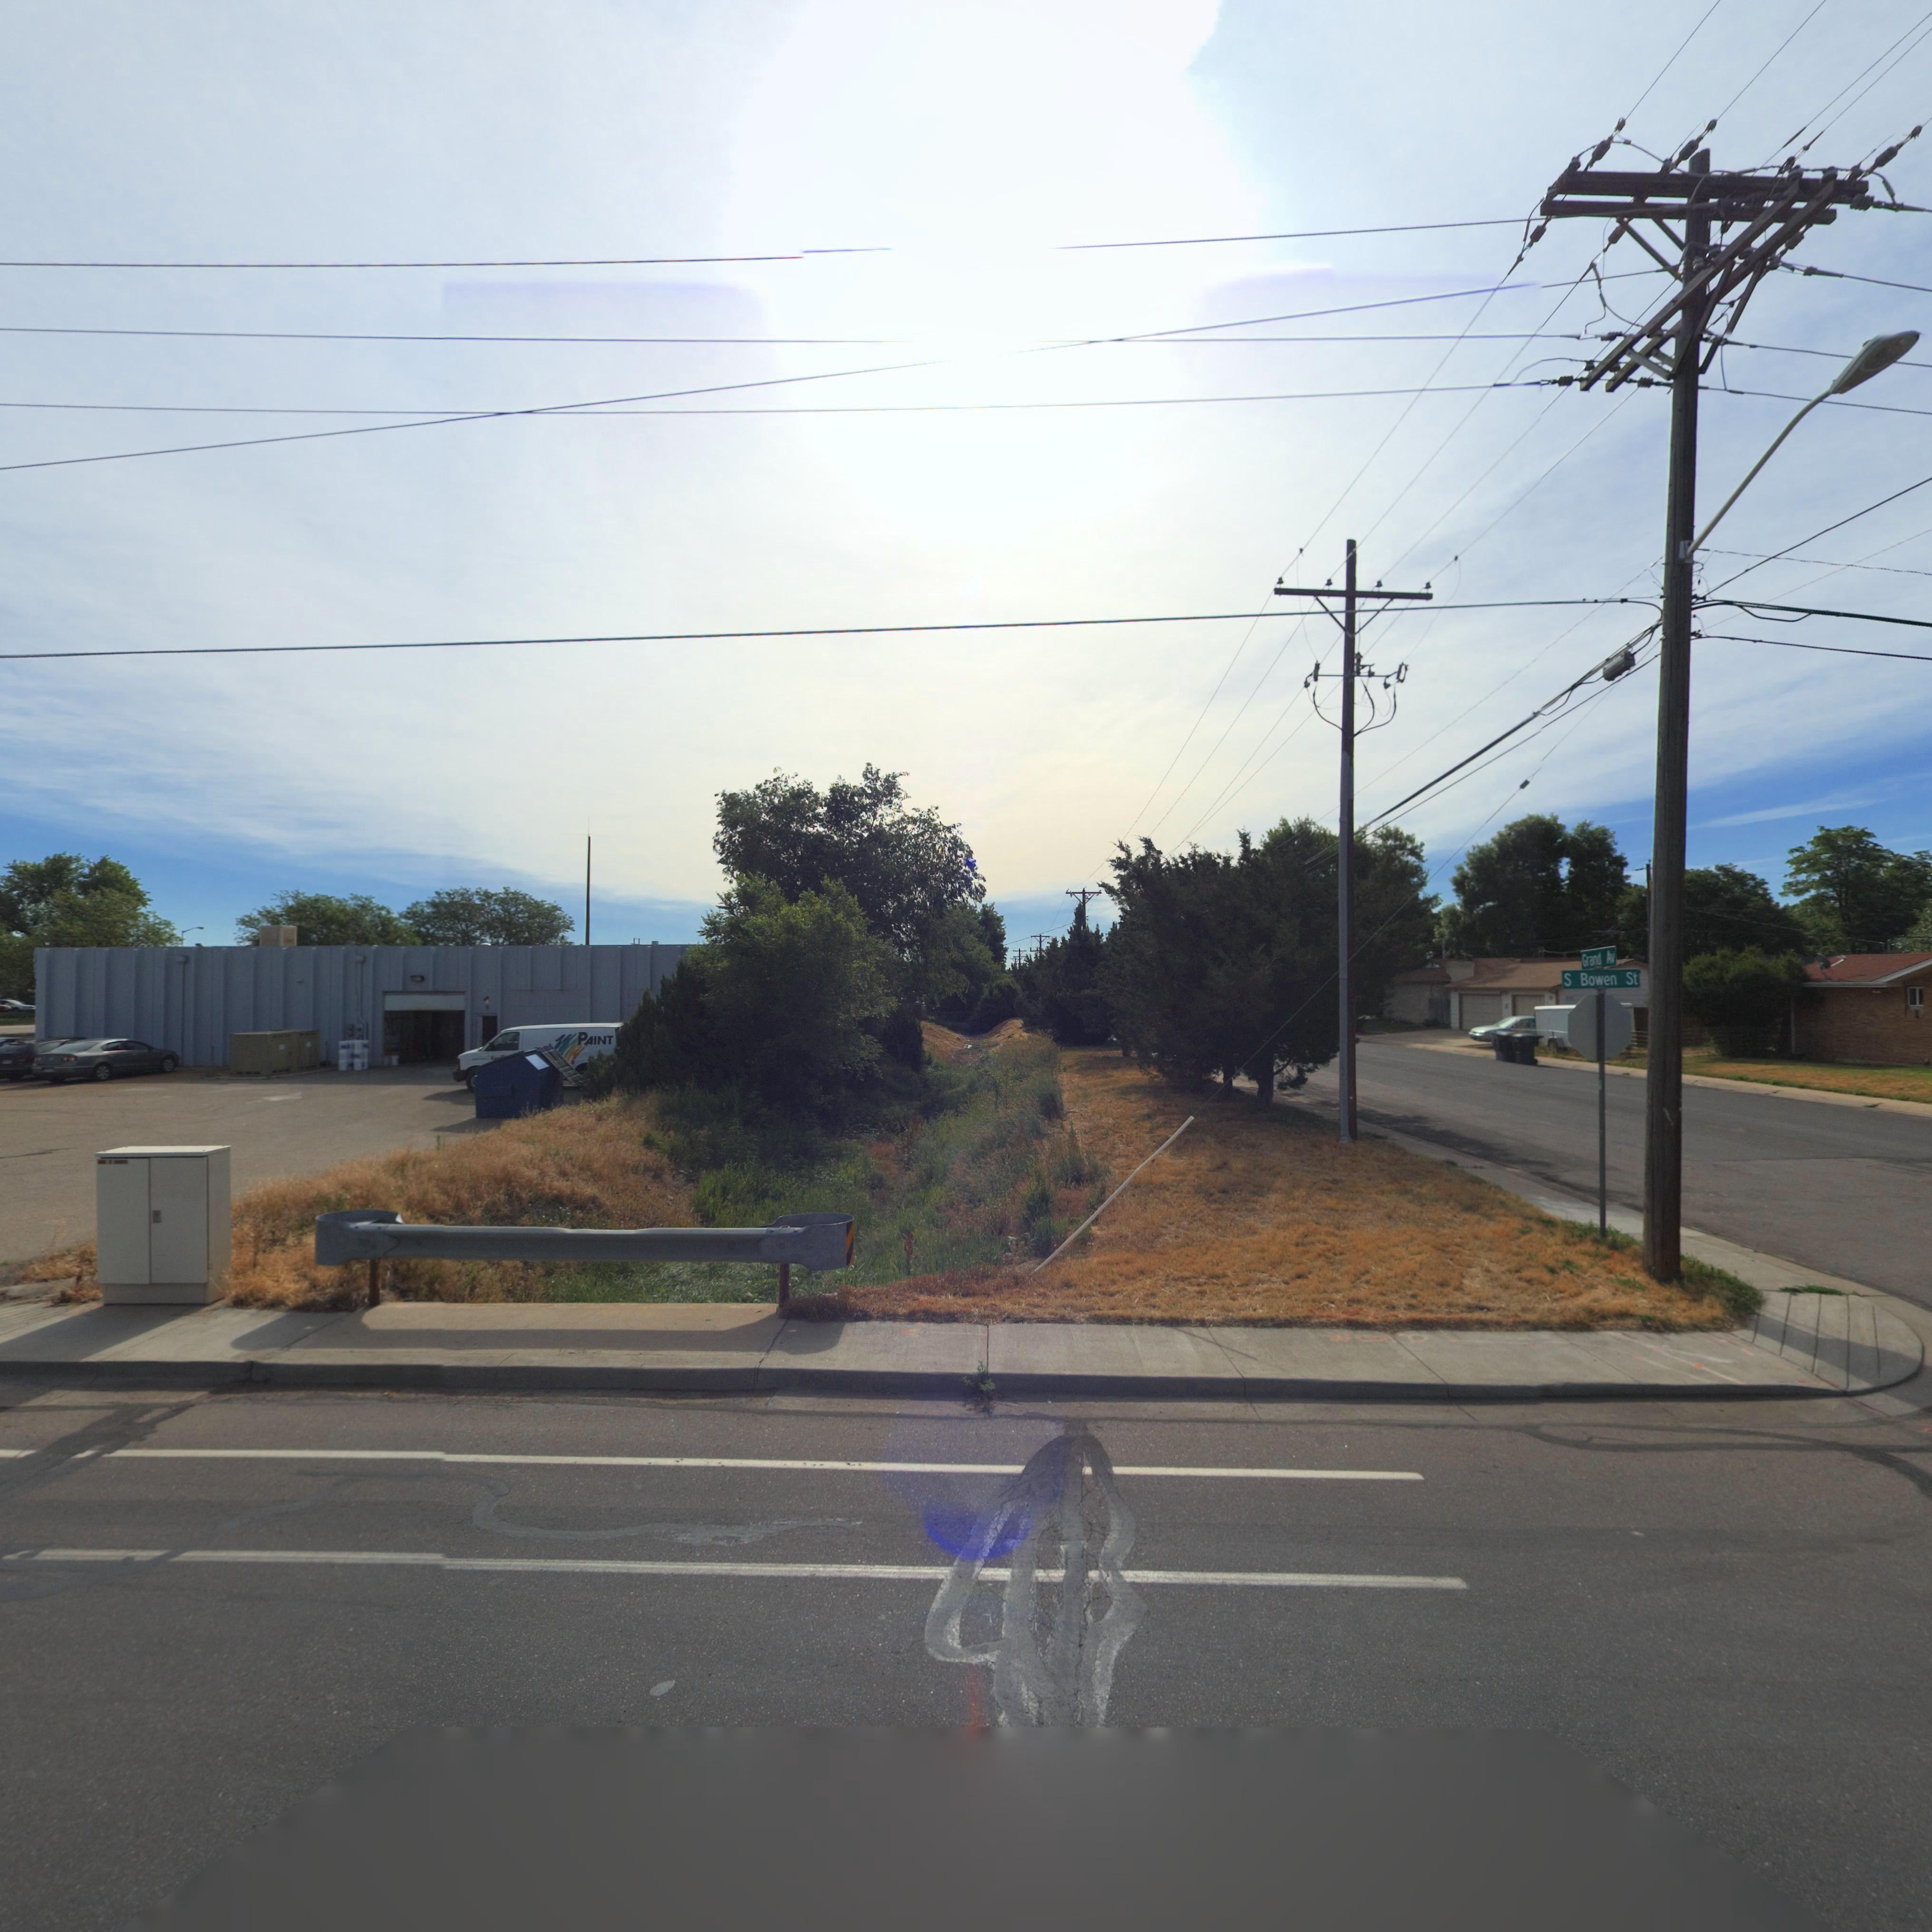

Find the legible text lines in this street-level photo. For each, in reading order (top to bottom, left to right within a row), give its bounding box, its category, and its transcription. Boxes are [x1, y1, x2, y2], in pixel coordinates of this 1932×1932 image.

[1581, 949, 1616, 967] StreetName: Grand Av
[1563, 971, 1639, 987] StreetName: S Bowen St